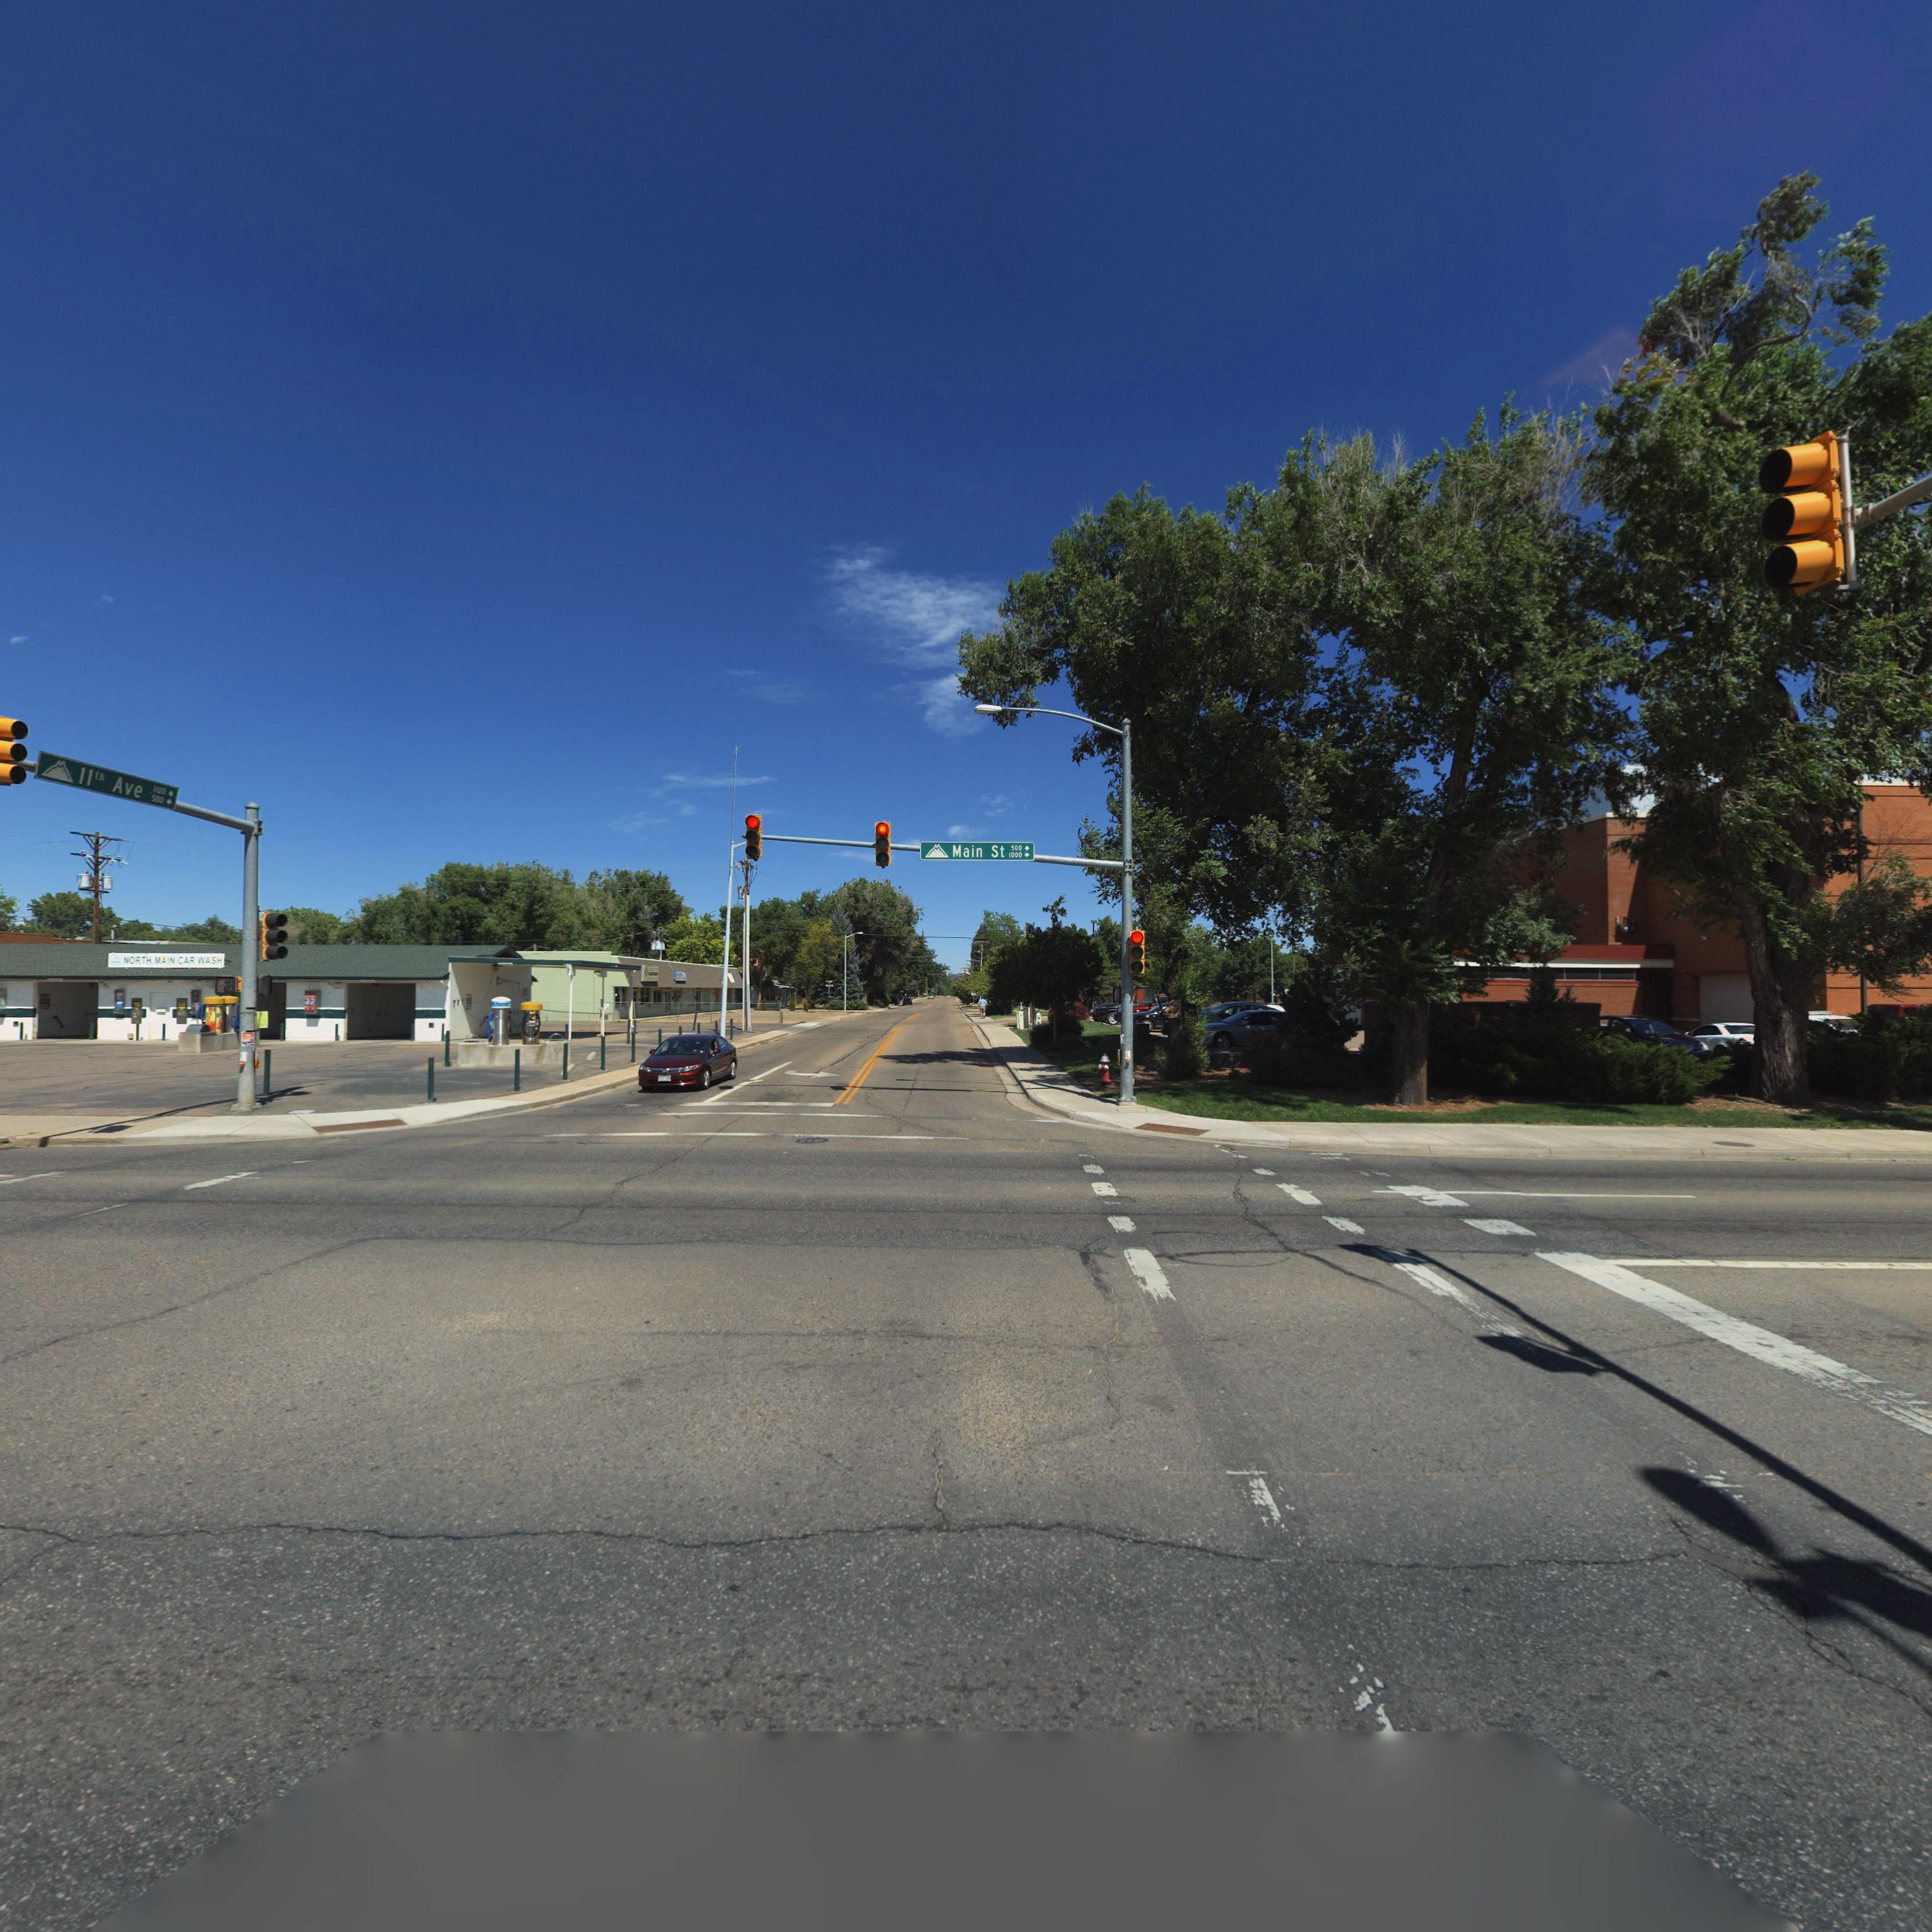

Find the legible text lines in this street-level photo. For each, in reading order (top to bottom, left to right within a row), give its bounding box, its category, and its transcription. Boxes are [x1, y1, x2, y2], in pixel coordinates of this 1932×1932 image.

[77, 766, 143, 799] StreetName: 11th Ave
[152, 785, 166, 796] StreetNumberRange: 1100
[151, 793, 173, 806] StreetNumberRange: 500 ->
[952, 844, 1005, 858] StreetName: Main St
[1011, 845, 1022, 851] StreetNumberRange: 500
[1008, 851, 1030, 858] StreetNumberRange: 1000 ->
[123, 956, 222, 965] BusinessName: NORTH MAIN CAR WASH